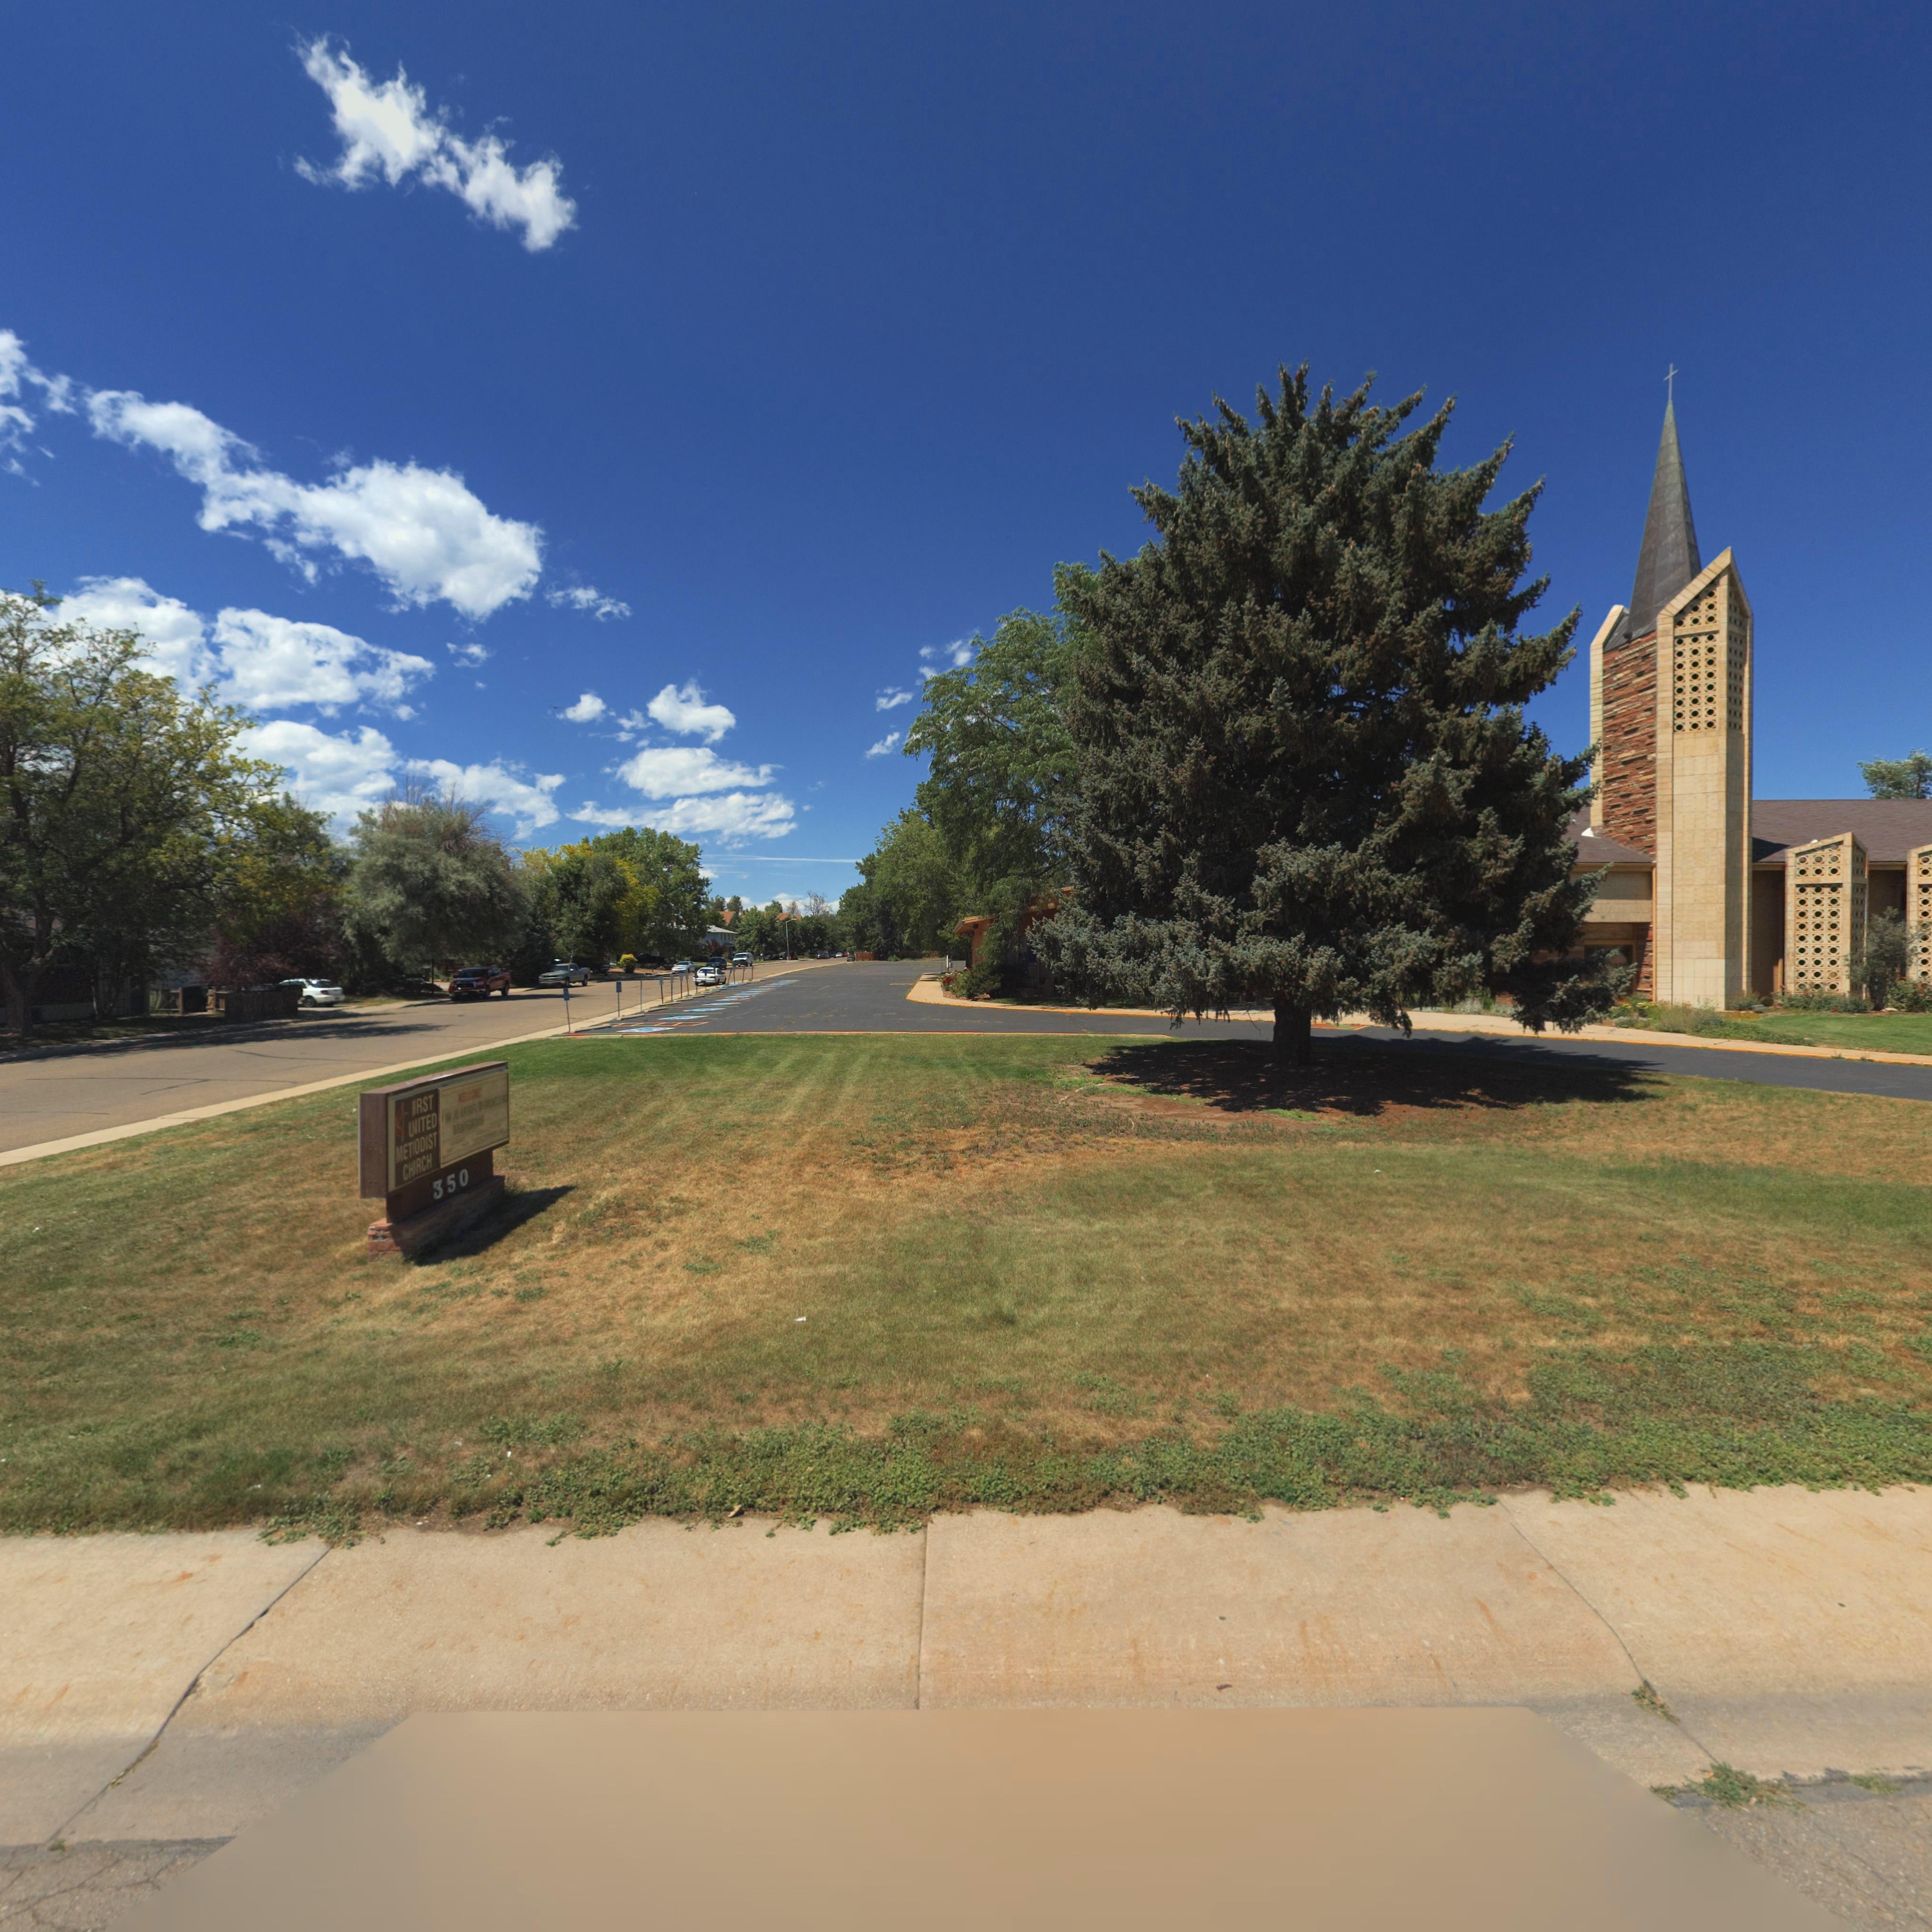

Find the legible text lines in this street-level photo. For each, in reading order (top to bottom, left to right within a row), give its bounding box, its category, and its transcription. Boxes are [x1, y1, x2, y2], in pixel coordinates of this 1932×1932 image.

[411, 1093, 434, 1117] BusinessName: *RST
[408, 1112, 437, 1138] BusinessName: U*ITED
[395, 1130, 437, 1165] BusinessName: MET*ODIST
[402, 1151, 433, 1182] BusinessName: CH*RCH
[432, 1168, 469, 1200] StreetNumber: 350